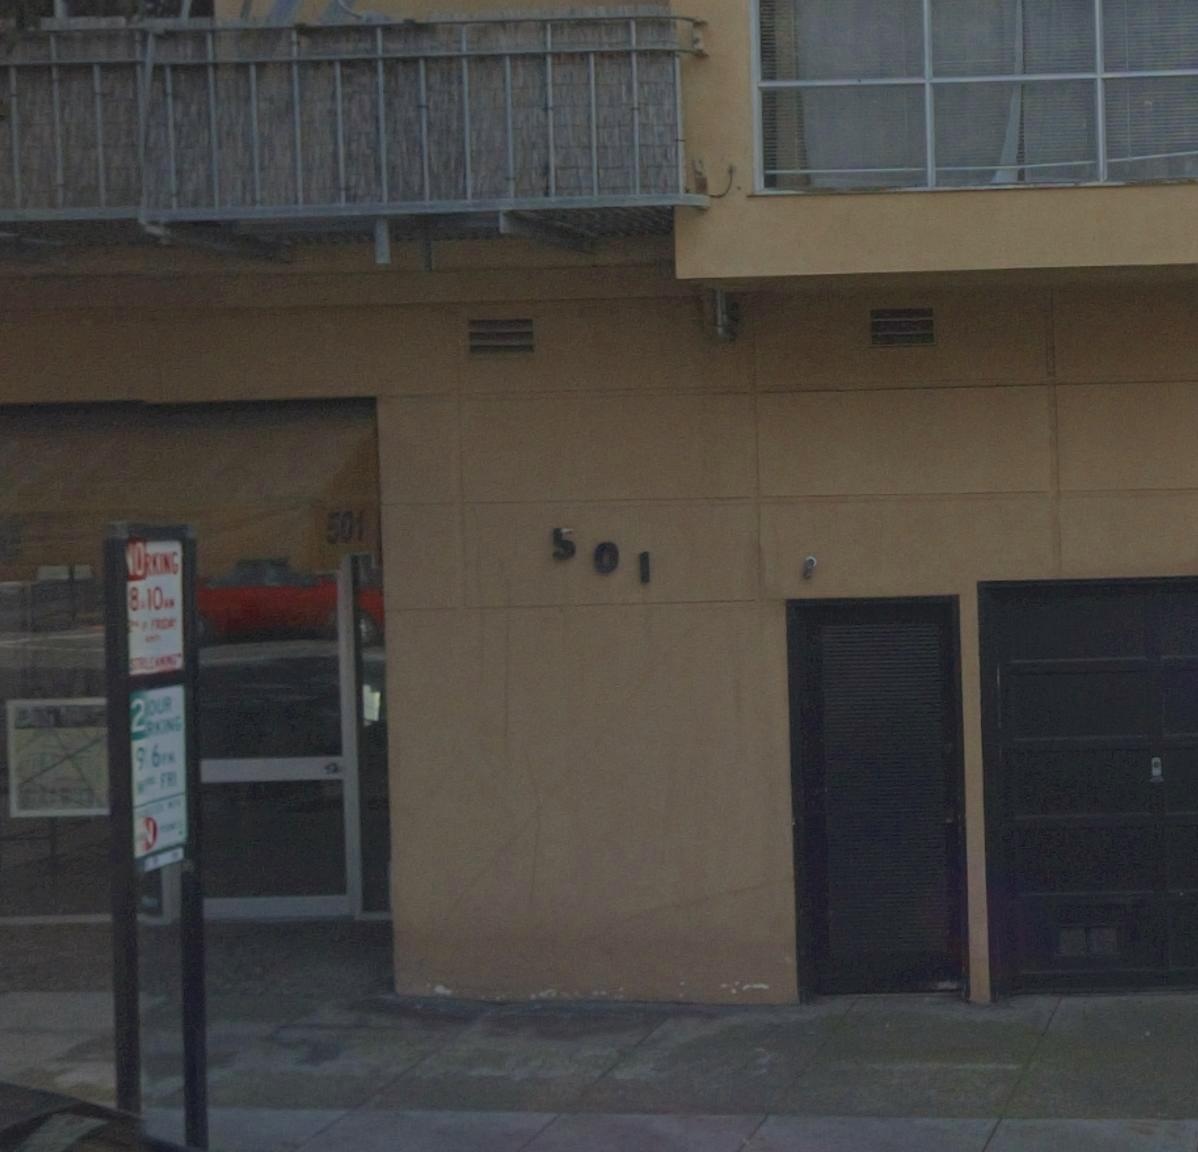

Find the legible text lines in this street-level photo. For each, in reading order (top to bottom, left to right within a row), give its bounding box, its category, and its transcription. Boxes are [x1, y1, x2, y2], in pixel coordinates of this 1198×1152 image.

[325, 509, 365, 543] StreetNumber: 501
[132, 540, 178, 575] None: orking
[549, 523, 653, 586] StreetNumber: 501
[128, 585, 140, 611] None: 8
[145, 584, 164, 610] None: 10
[127, 697, 147, 733] None: 2
[146, 696, 173, 717] None: OUR
[155, 714, 183, 736] None: KING
[133, 746, 145, 772] None: 9
[149, 742, 160, 767] None: 6